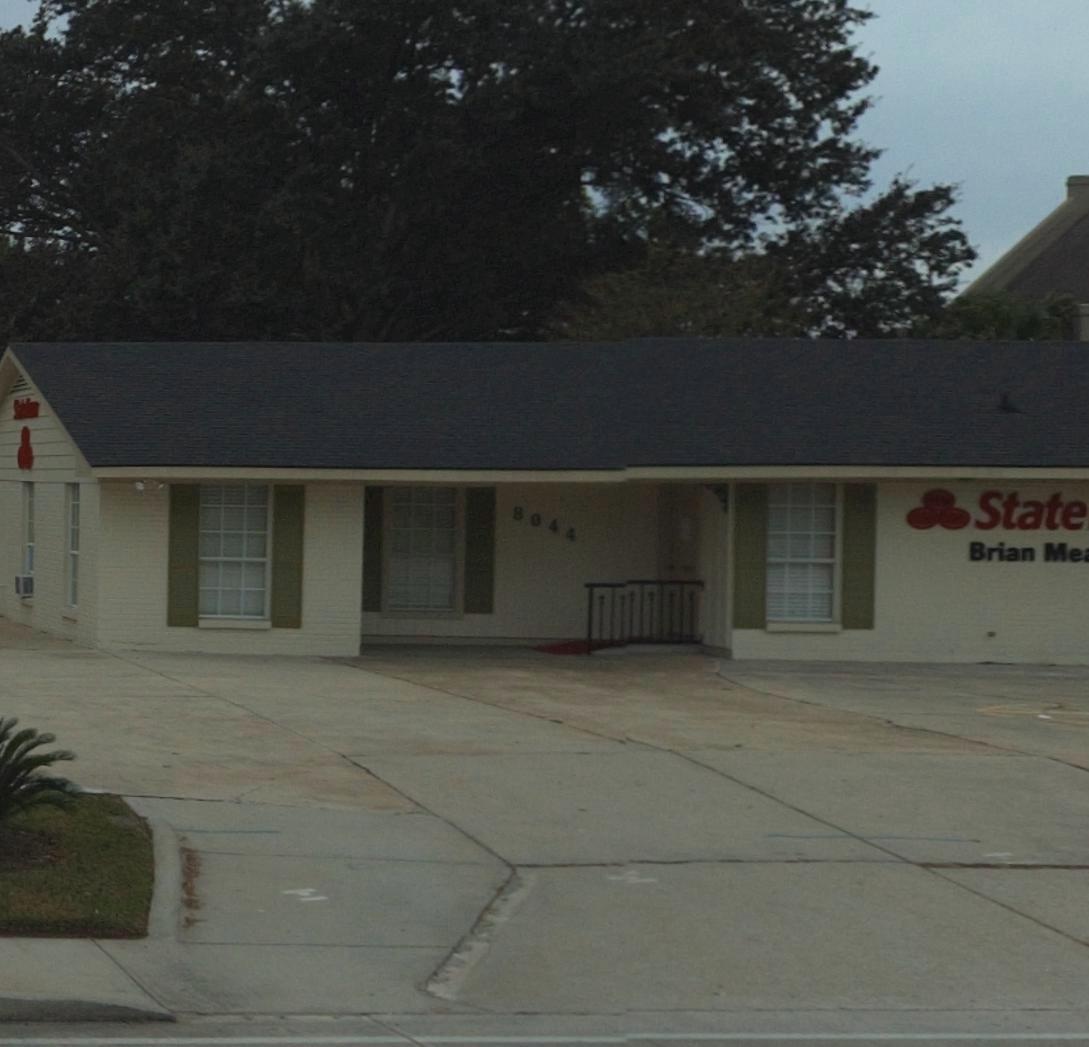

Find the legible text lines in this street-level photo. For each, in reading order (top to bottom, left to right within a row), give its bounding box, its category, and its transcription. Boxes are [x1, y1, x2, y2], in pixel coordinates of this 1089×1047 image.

[512, 502, 575, 544] StreetNumber: 8044
[974, 485, 1089, 533] BusinessName: State
[968, 539, 1081, 564] None: Brian Me